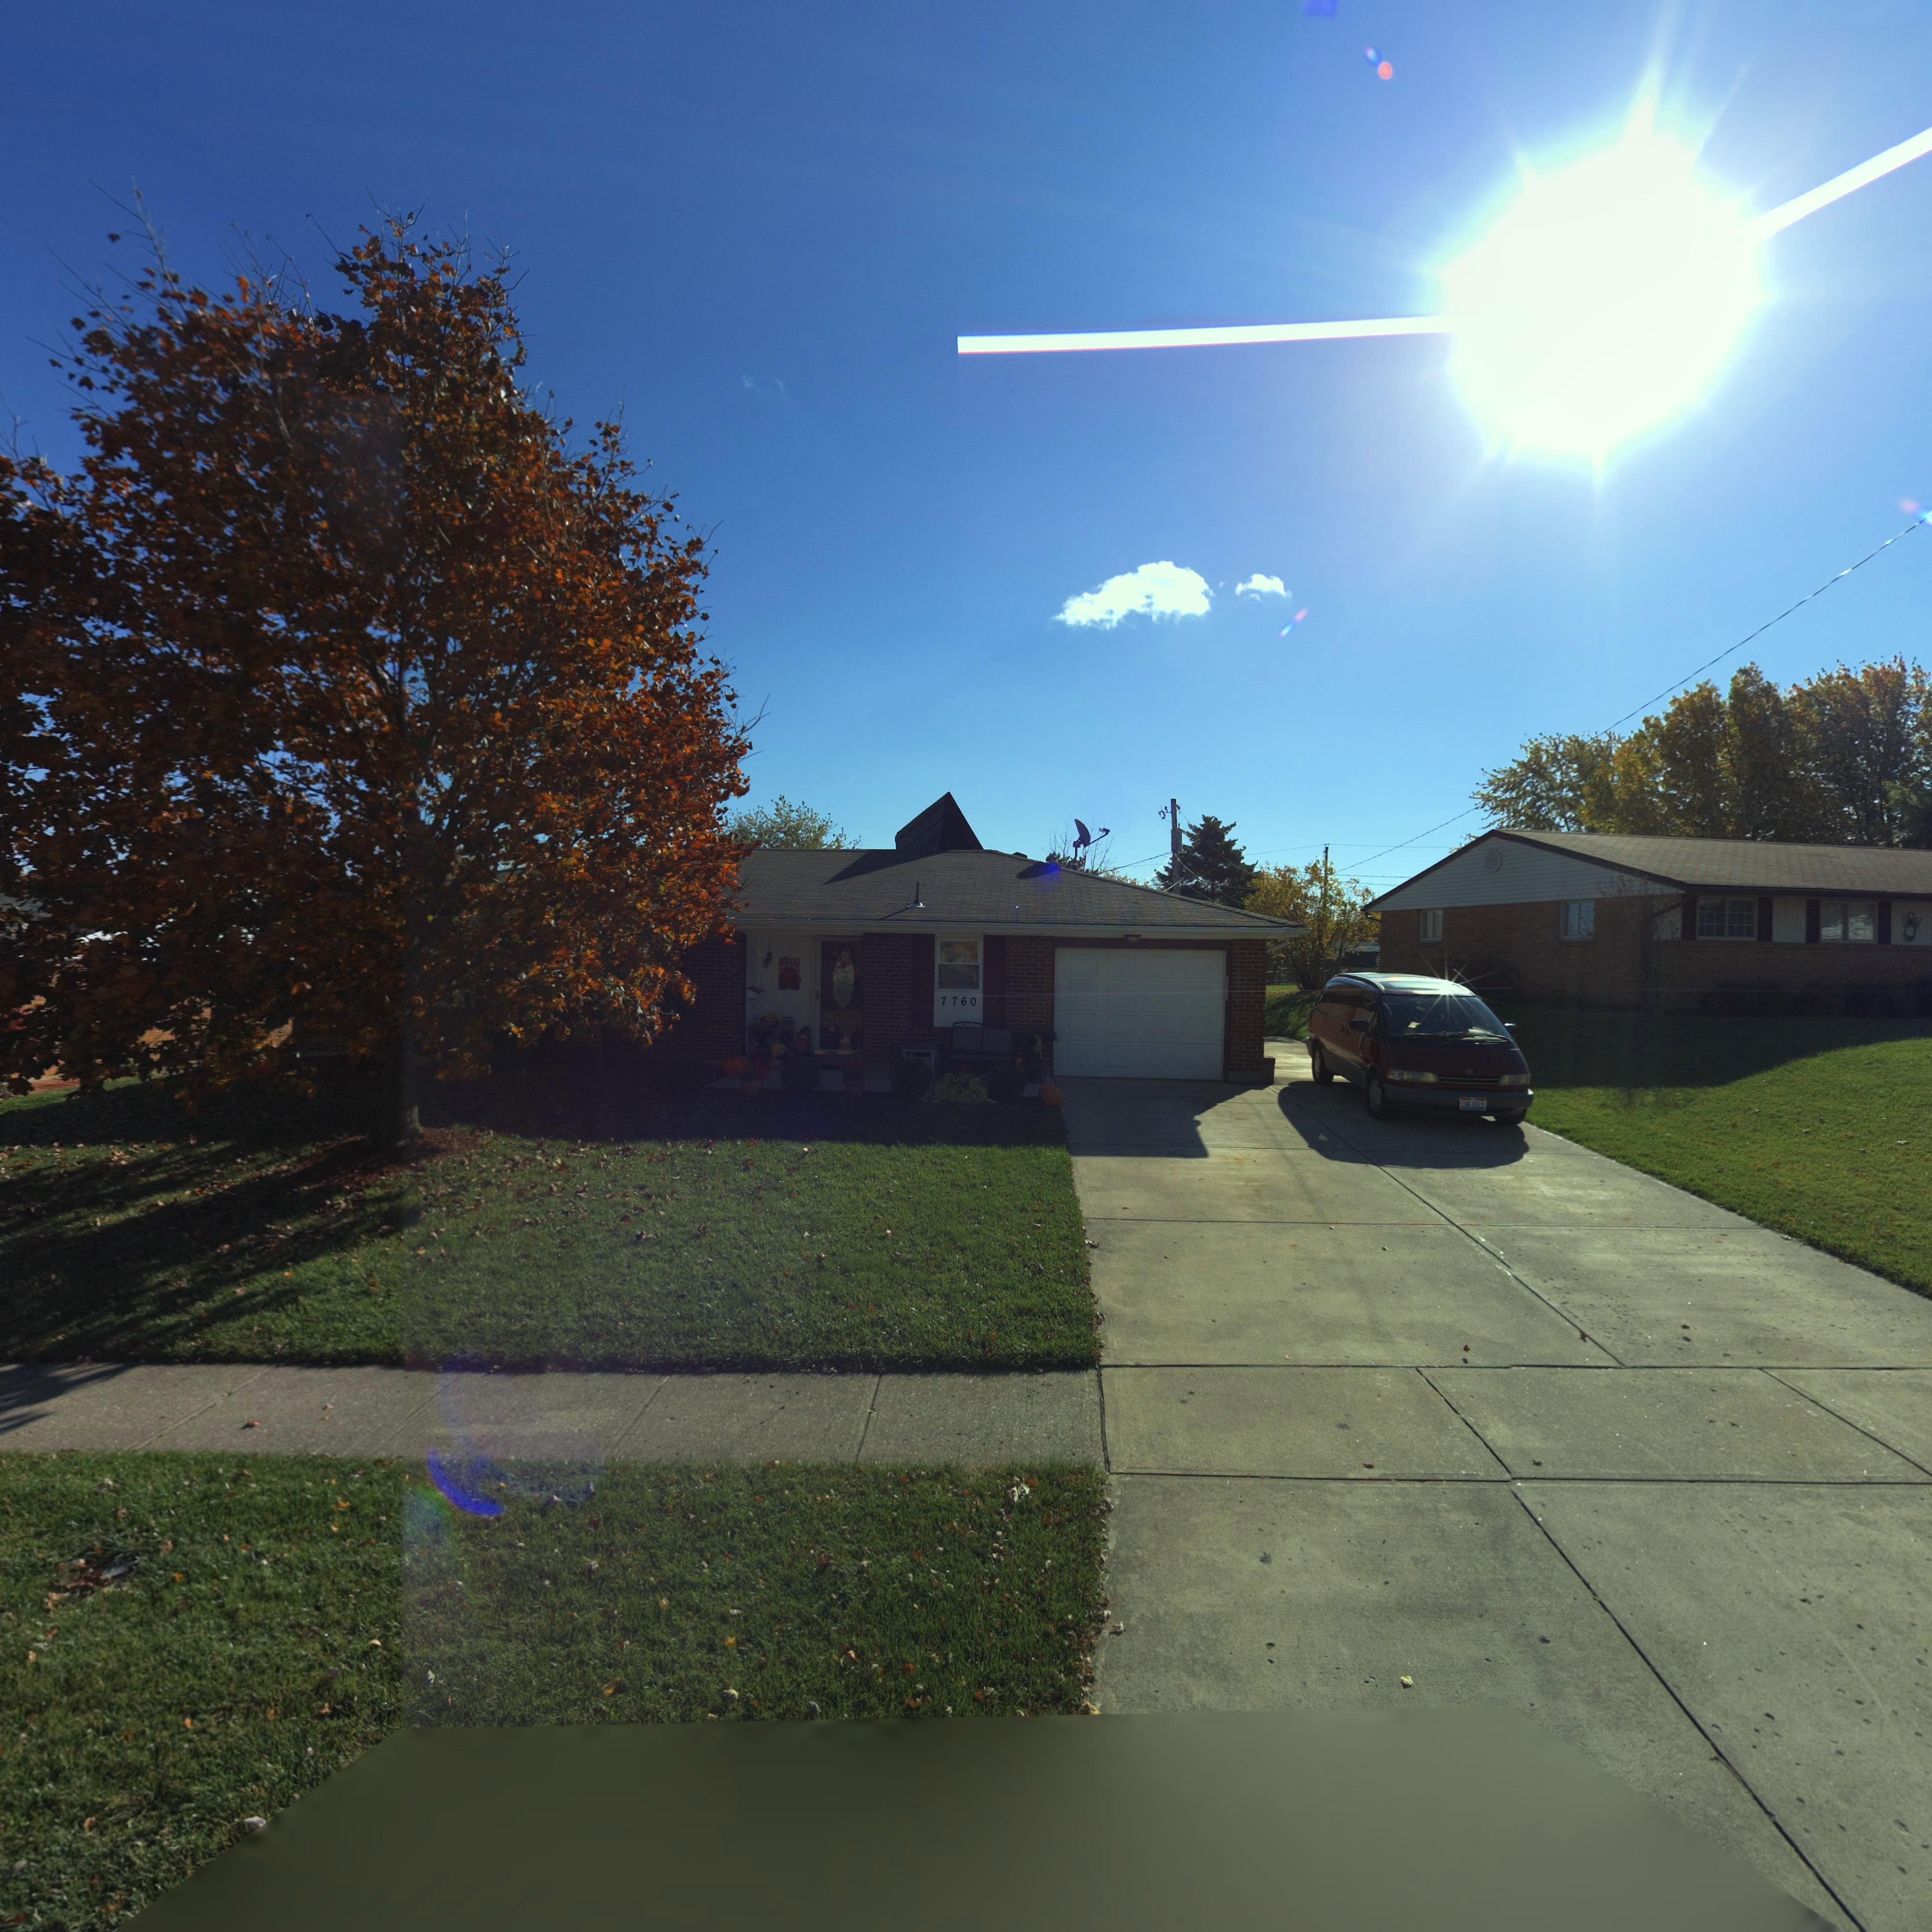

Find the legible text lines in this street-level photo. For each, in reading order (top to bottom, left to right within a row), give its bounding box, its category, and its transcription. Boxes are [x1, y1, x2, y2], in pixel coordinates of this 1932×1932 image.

[940, 995, 978, 1007] StreetNumber: 7760